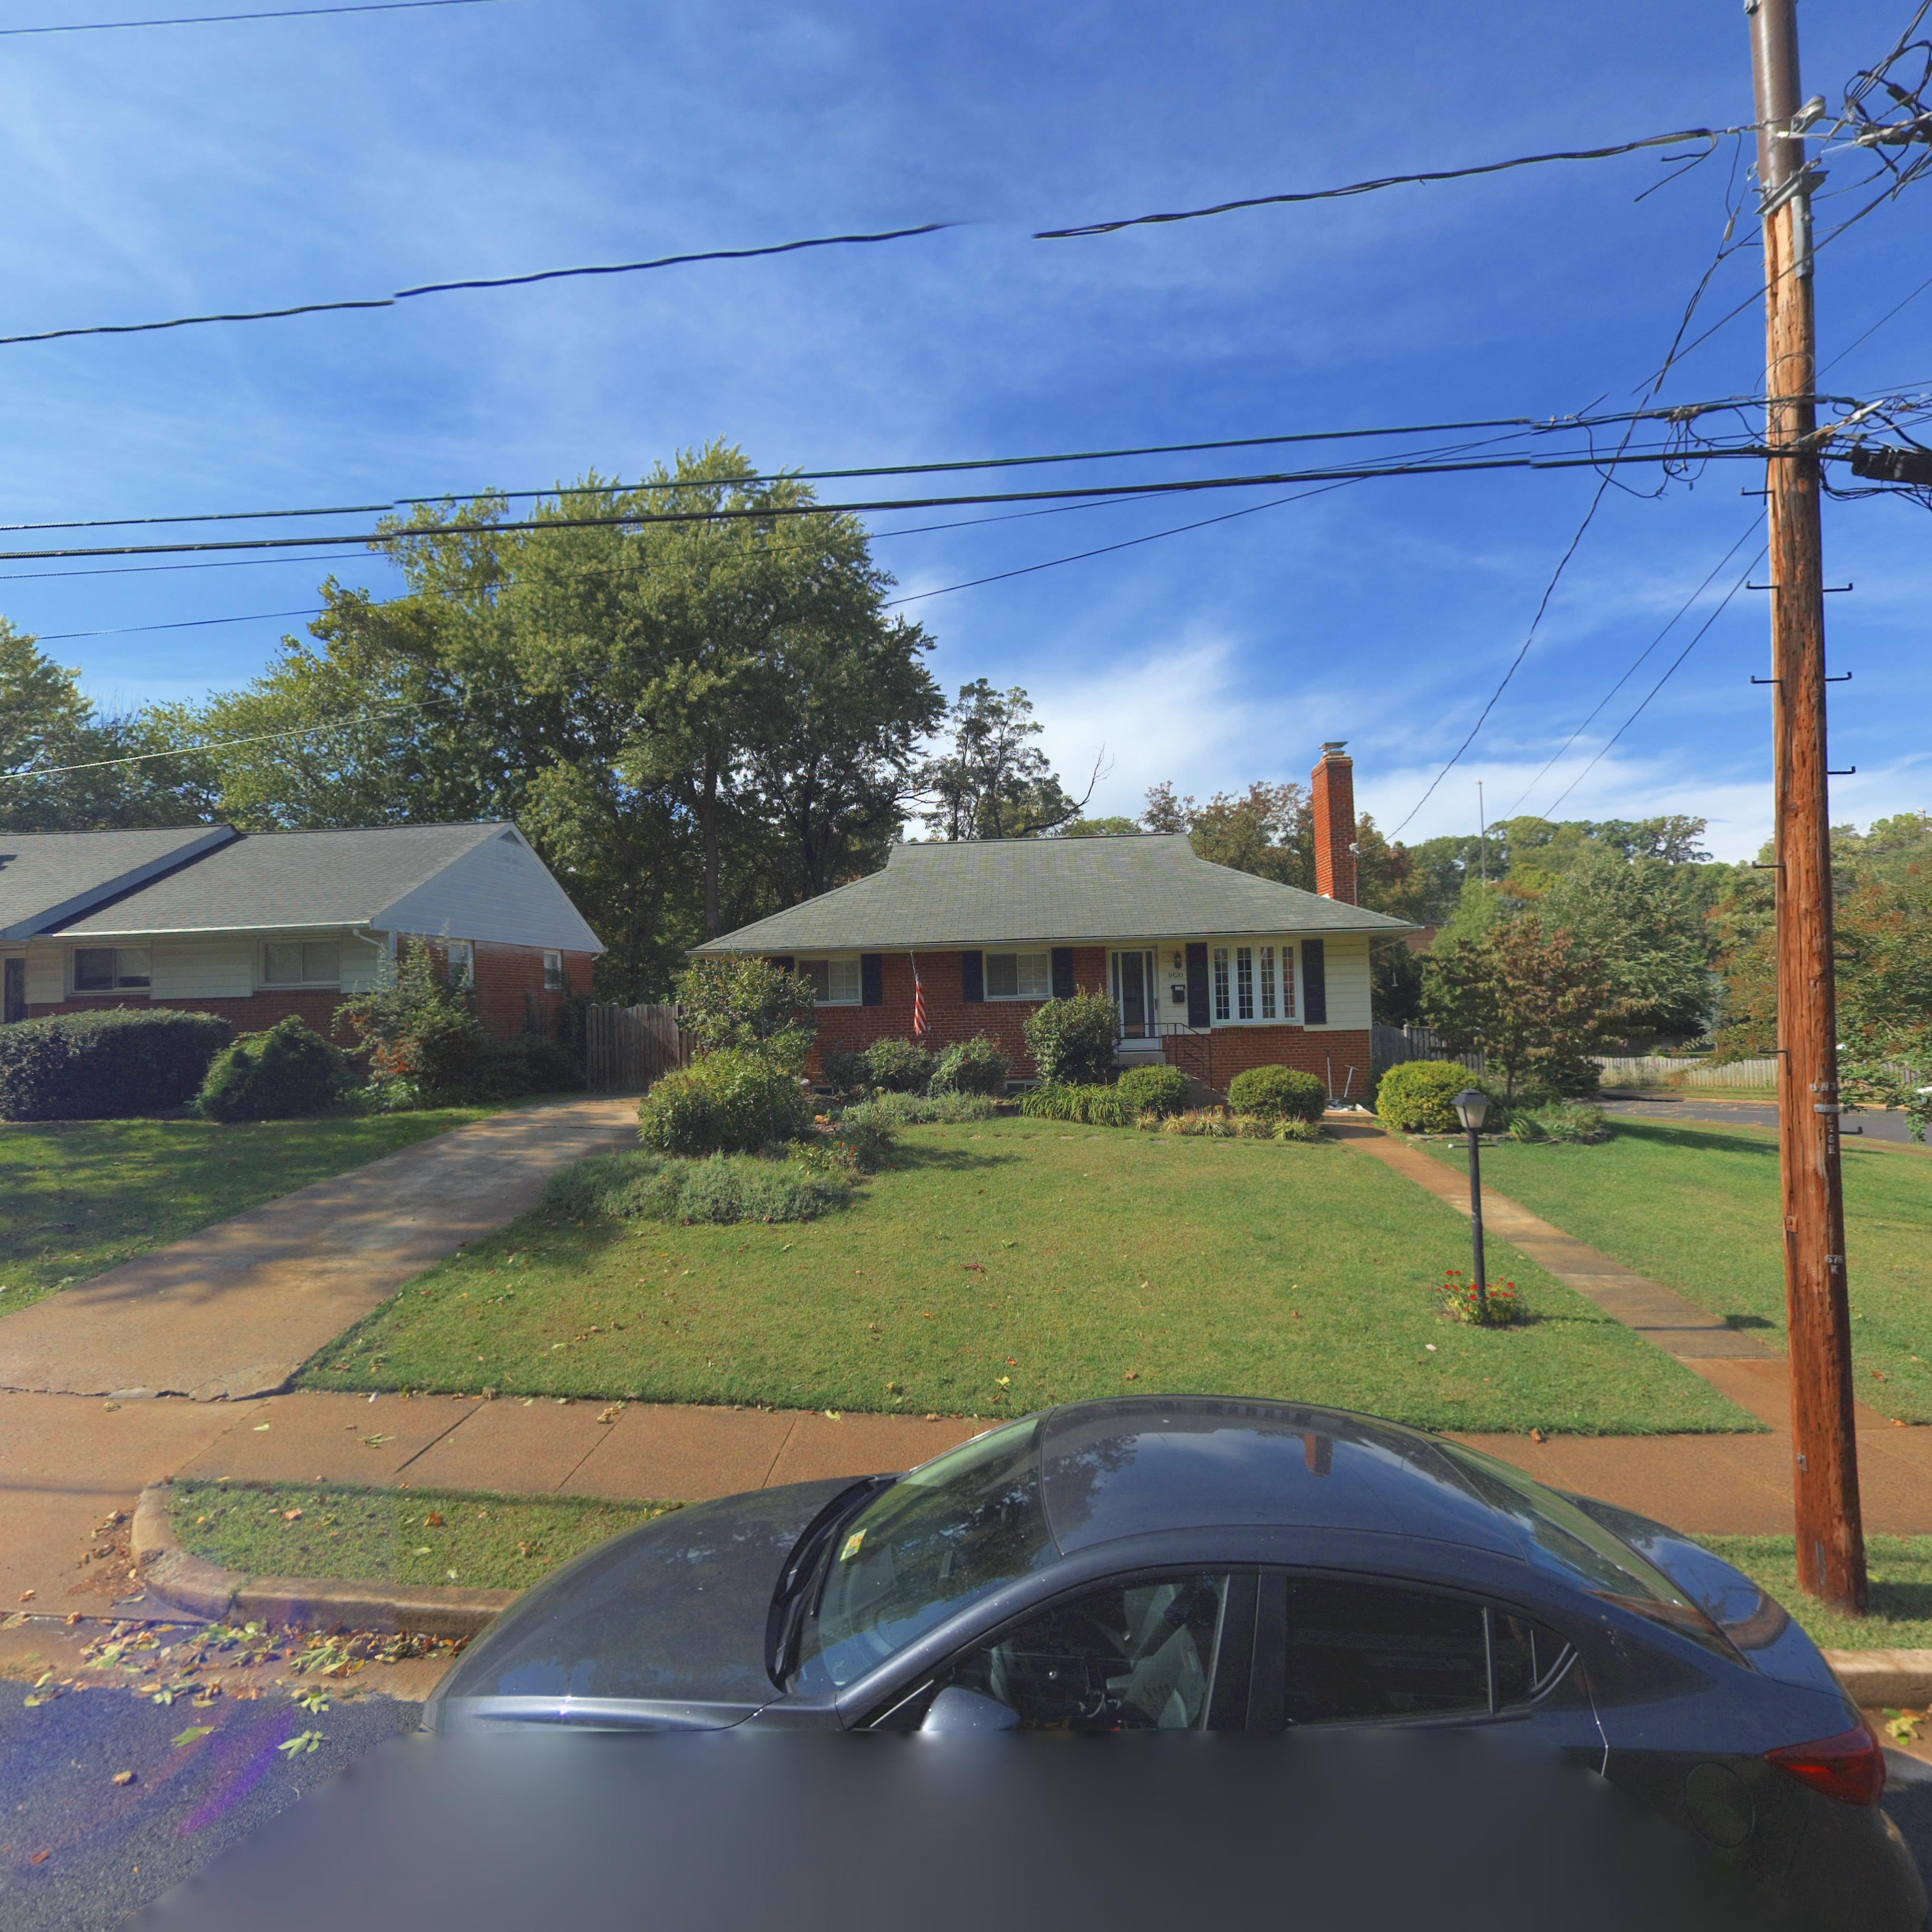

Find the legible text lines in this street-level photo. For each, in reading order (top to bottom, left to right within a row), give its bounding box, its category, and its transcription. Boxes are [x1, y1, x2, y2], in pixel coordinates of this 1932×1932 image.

[1167, 972, 1184, 978] StreetNumber: 1820
[1809, 1081, 1836, 1092] None: 6N3
[1825, 1113, 1836, 1154] None: 676H